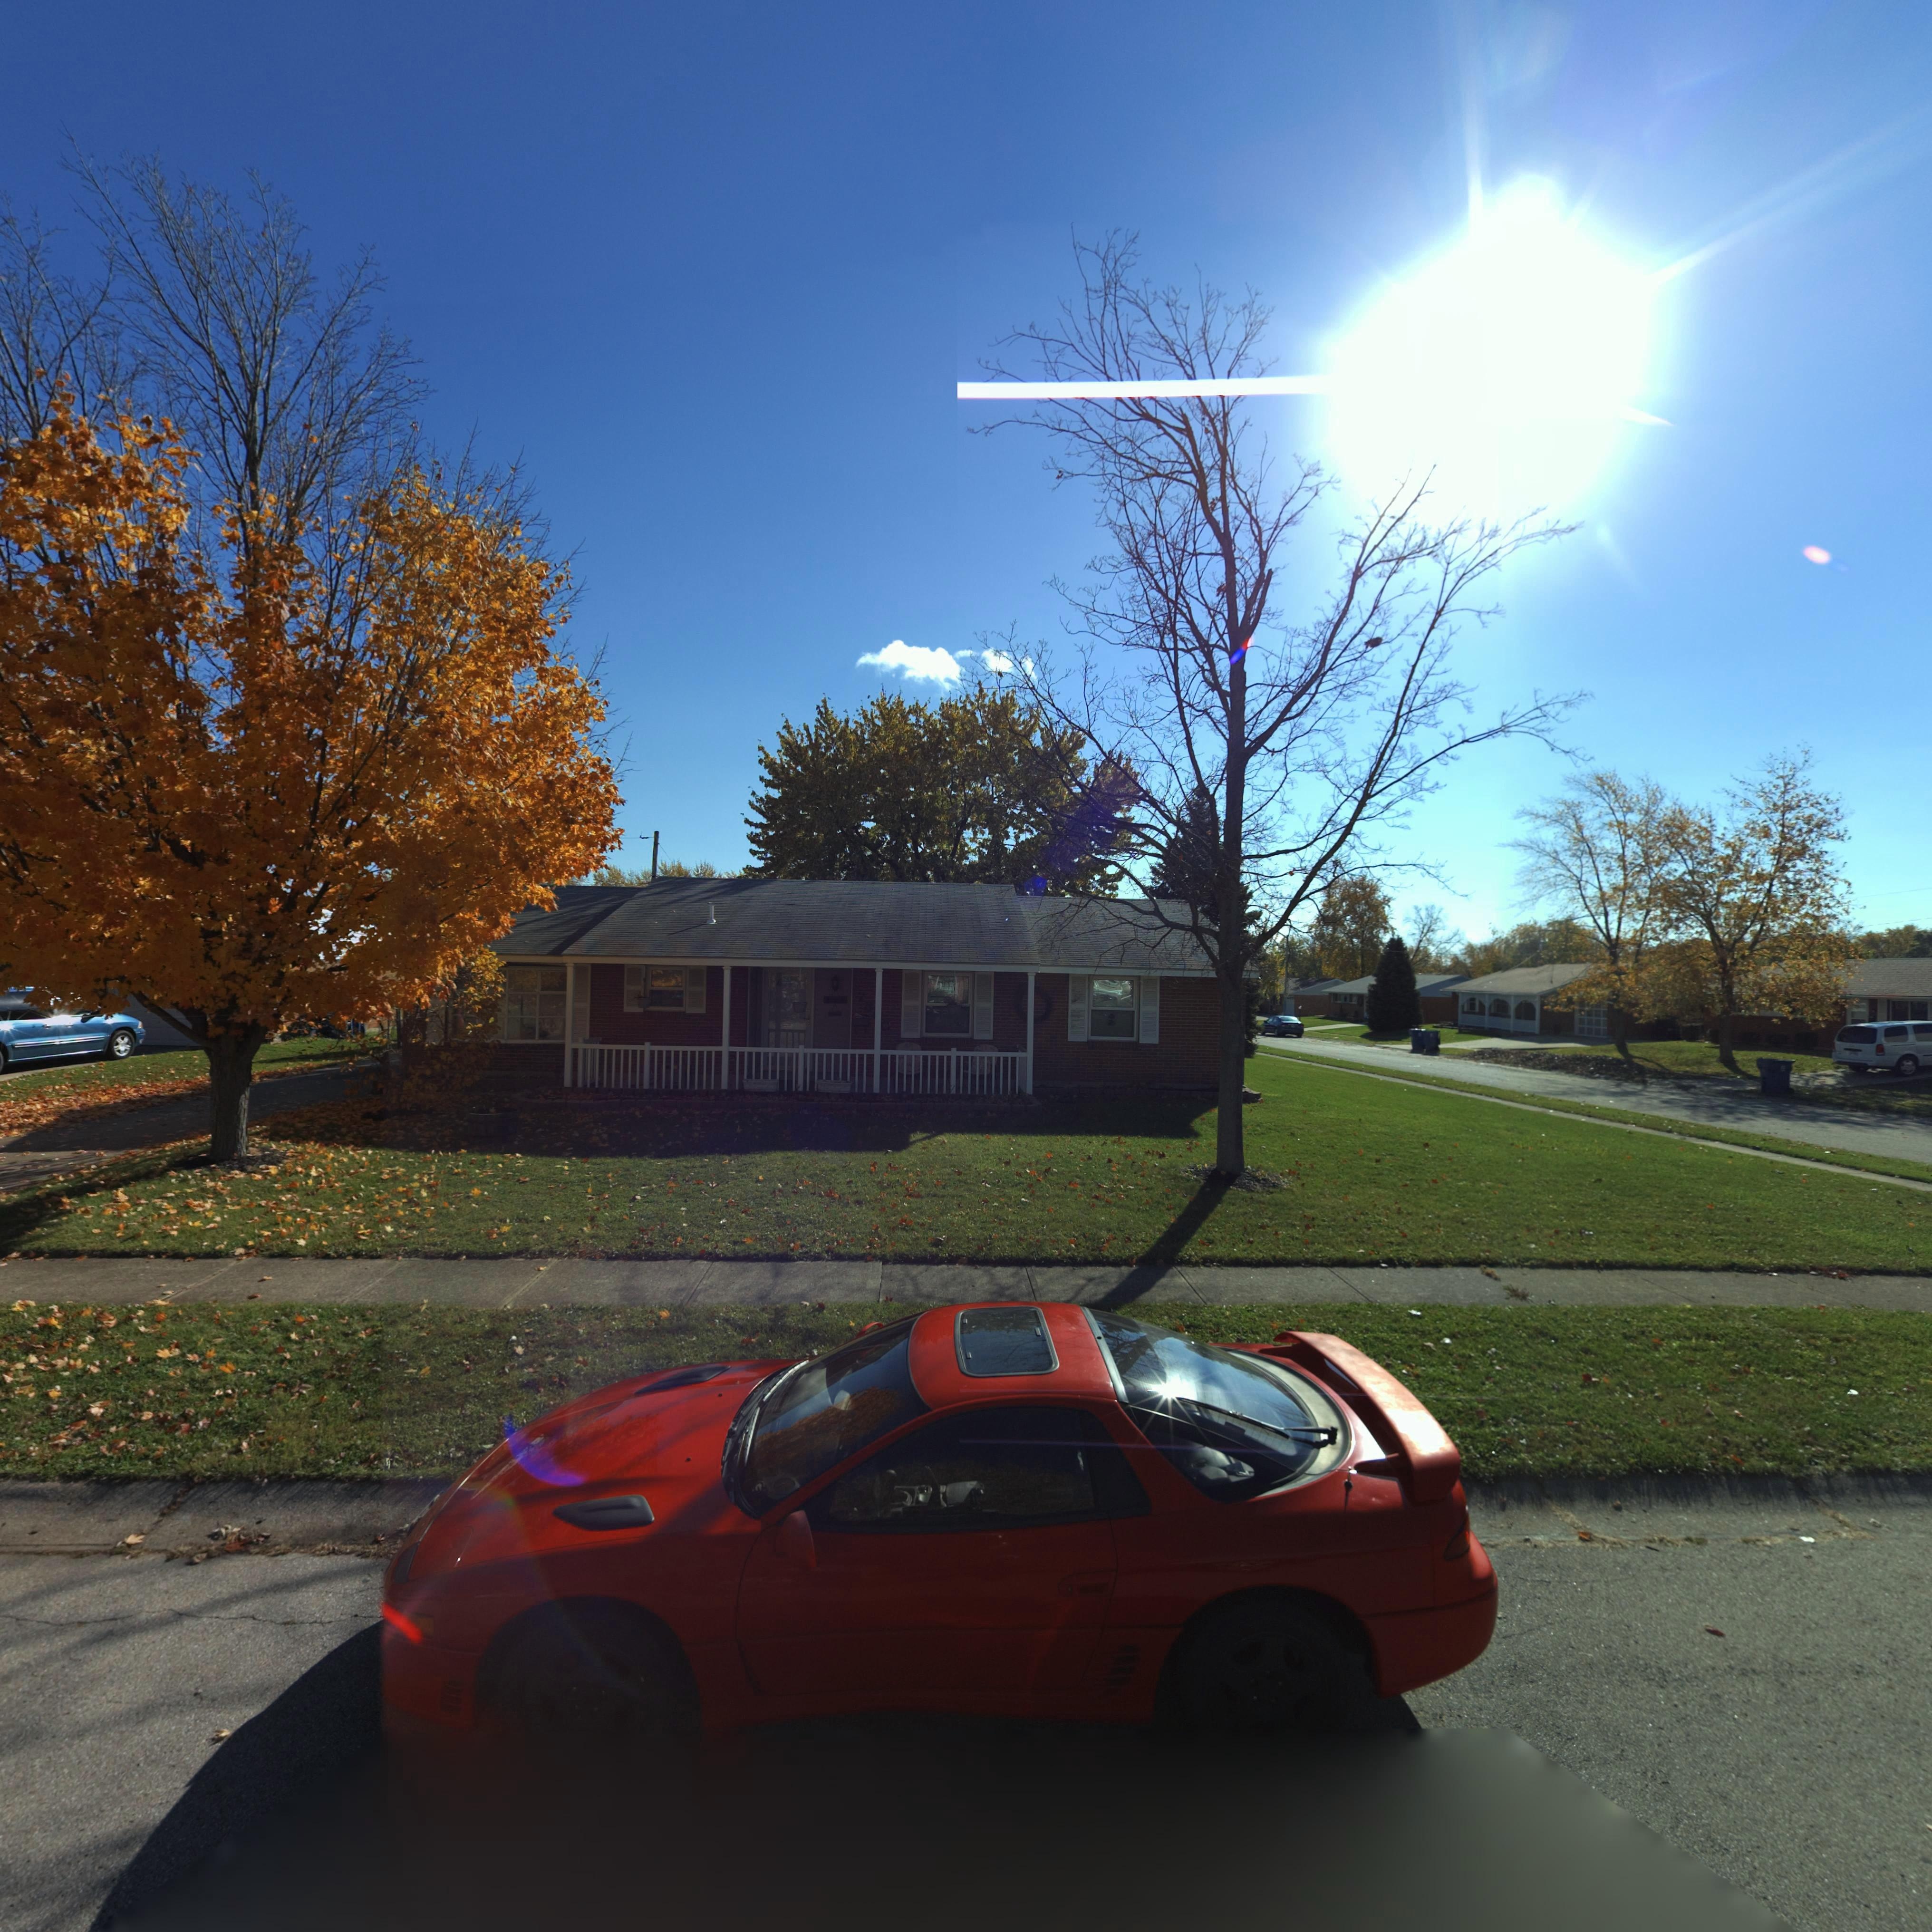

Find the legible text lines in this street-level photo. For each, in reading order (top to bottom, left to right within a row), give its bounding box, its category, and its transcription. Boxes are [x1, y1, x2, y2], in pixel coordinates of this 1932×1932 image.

[857, 991, 892, 1032] StreetNumber: 78*0